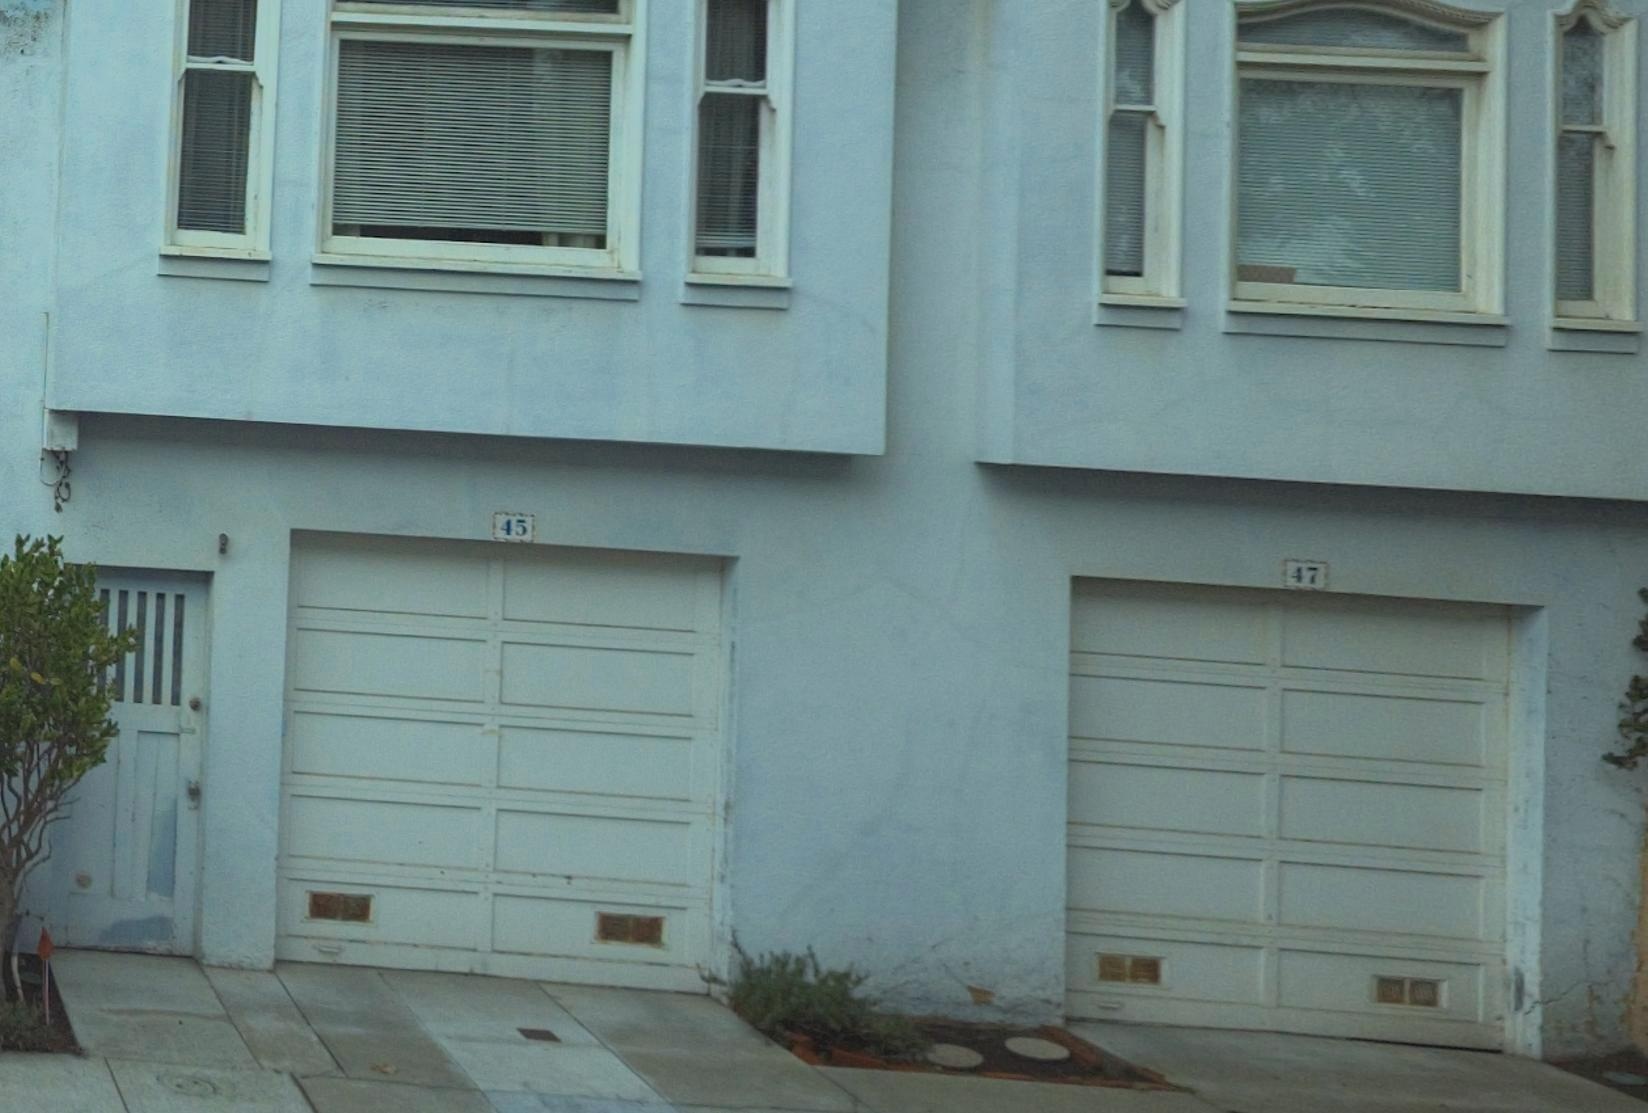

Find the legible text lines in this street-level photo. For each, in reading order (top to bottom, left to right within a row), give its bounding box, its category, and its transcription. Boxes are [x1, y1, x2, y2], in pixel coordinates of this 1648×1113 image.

[498, 516, 527, 538] StreetNumber: 45
[1290, 564, 1320, 586] StreetNumber: 47